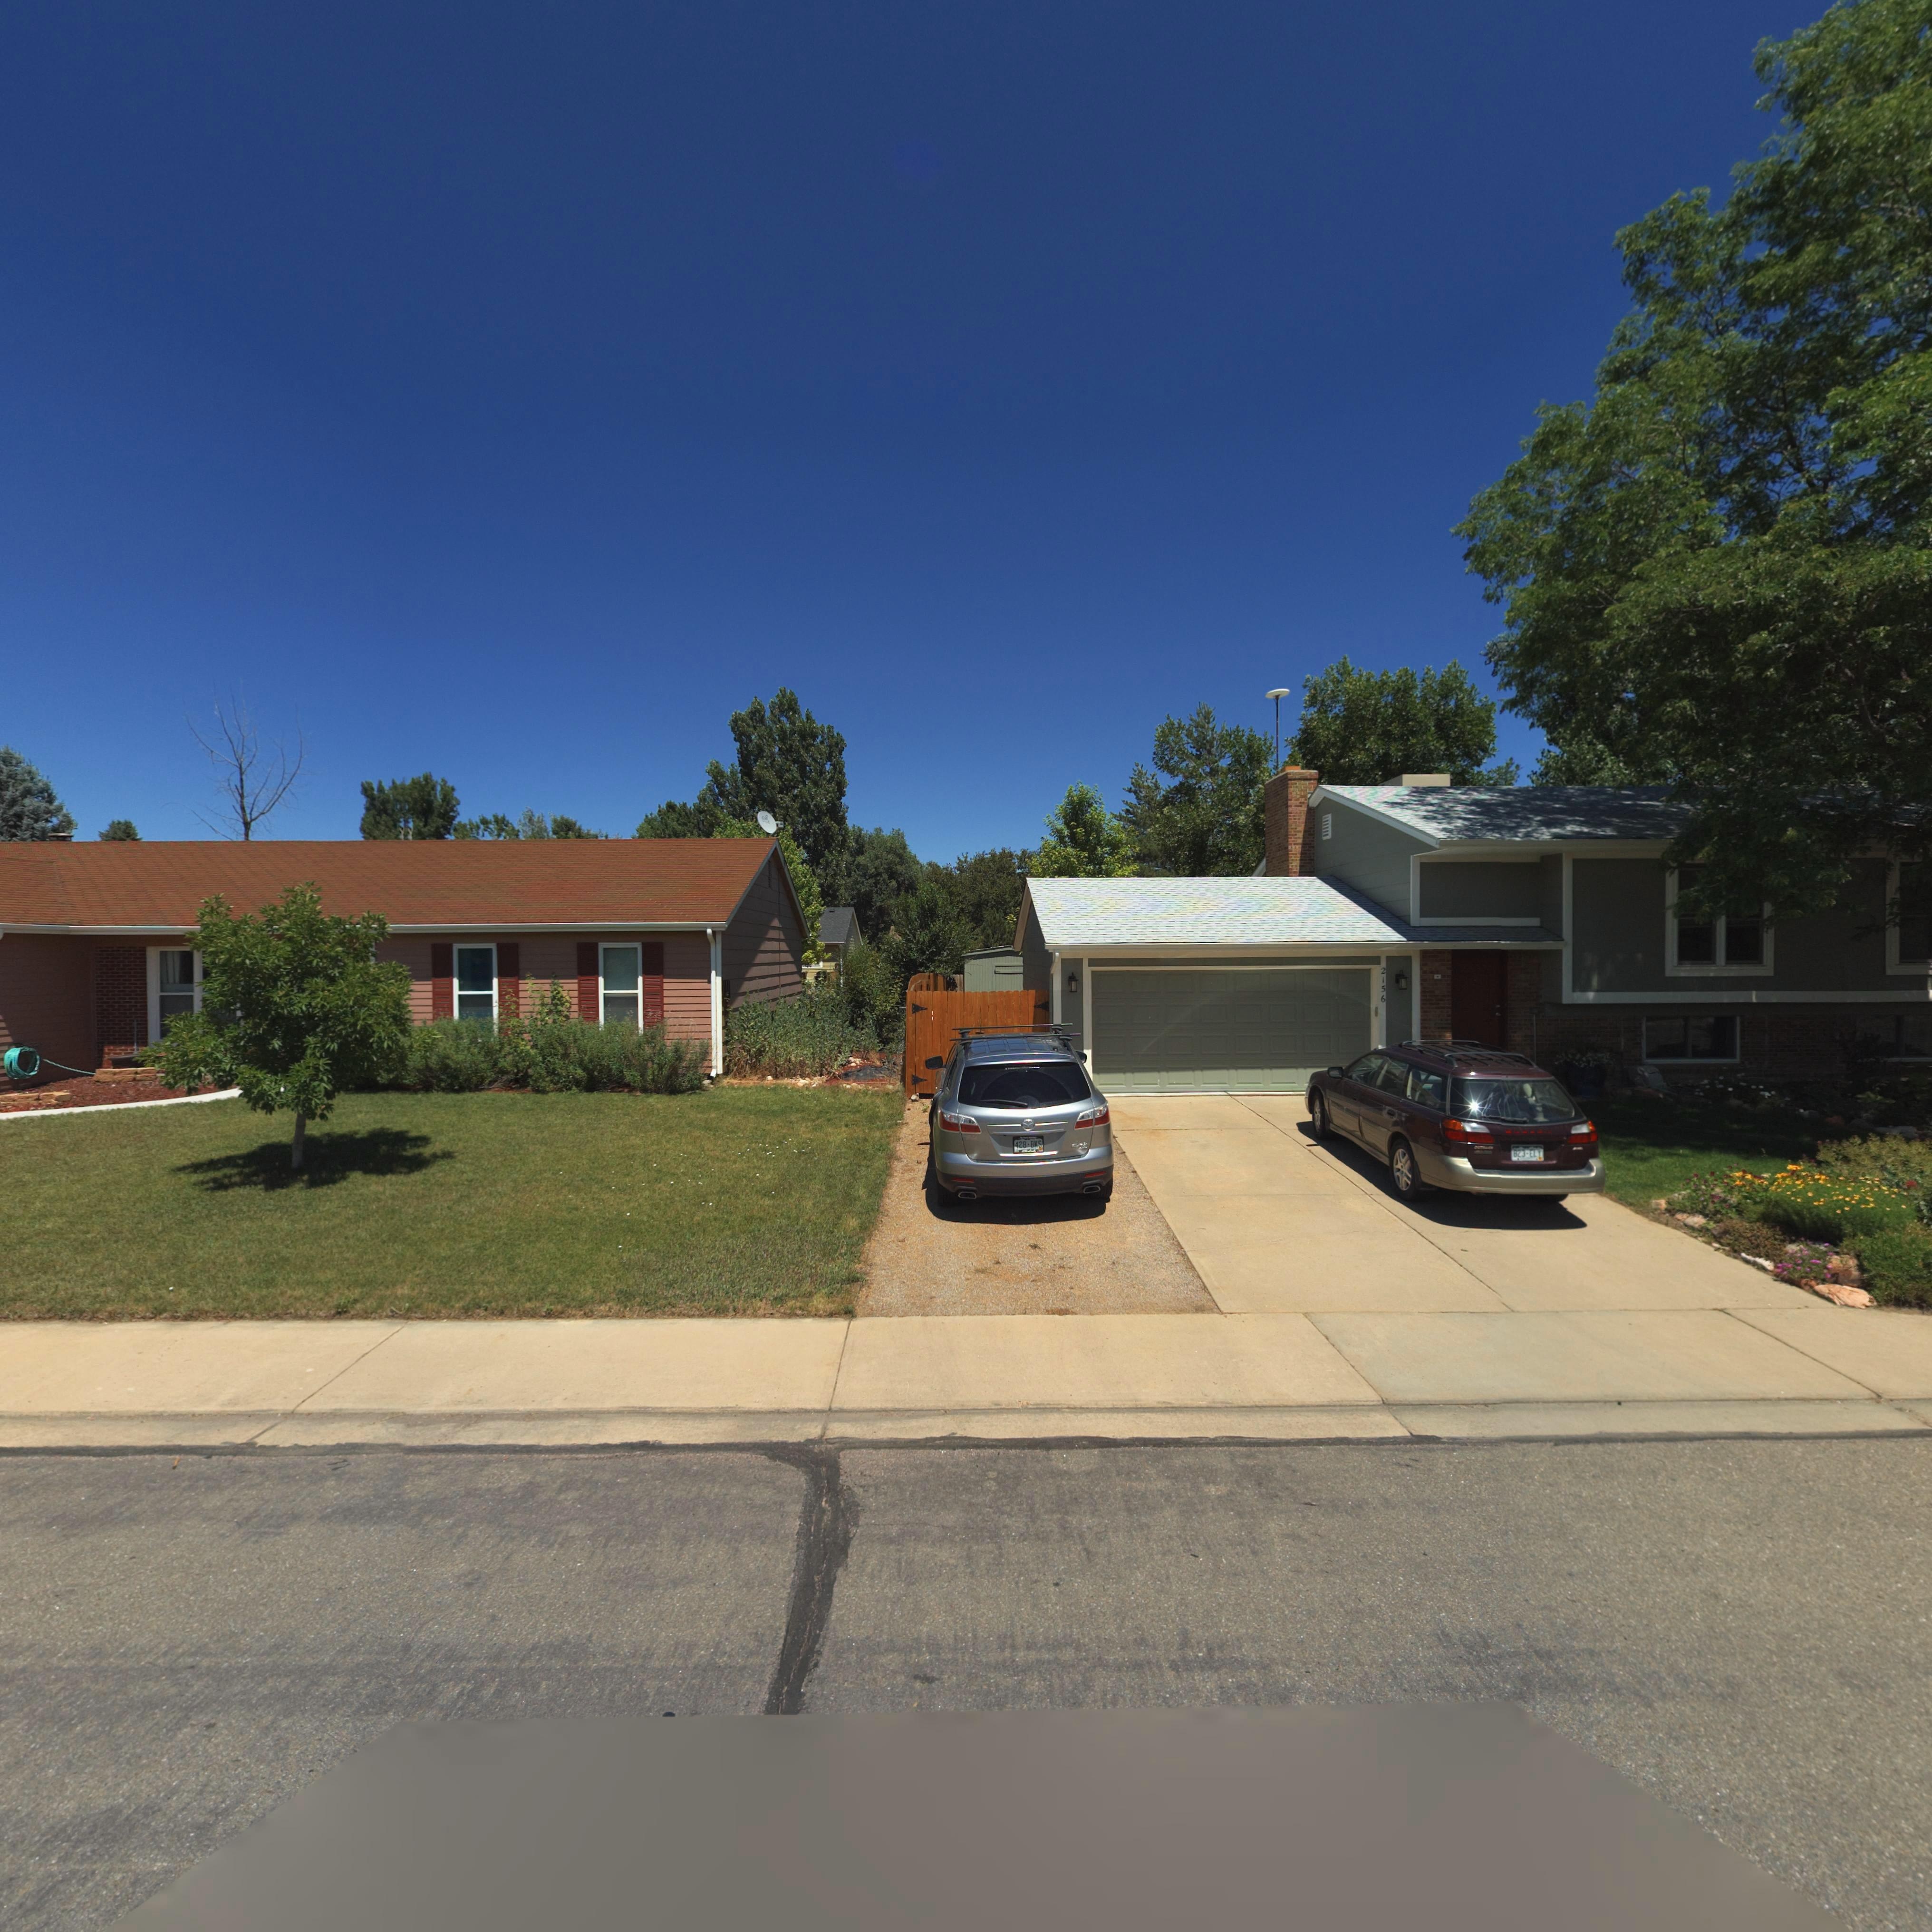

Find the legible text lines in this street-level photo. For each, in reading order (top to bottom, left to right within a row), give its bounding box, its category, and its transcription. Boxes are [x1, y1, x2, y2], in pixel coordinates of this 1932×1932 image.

[1381, 966, 1386, 1004] StreetNumber: 2156